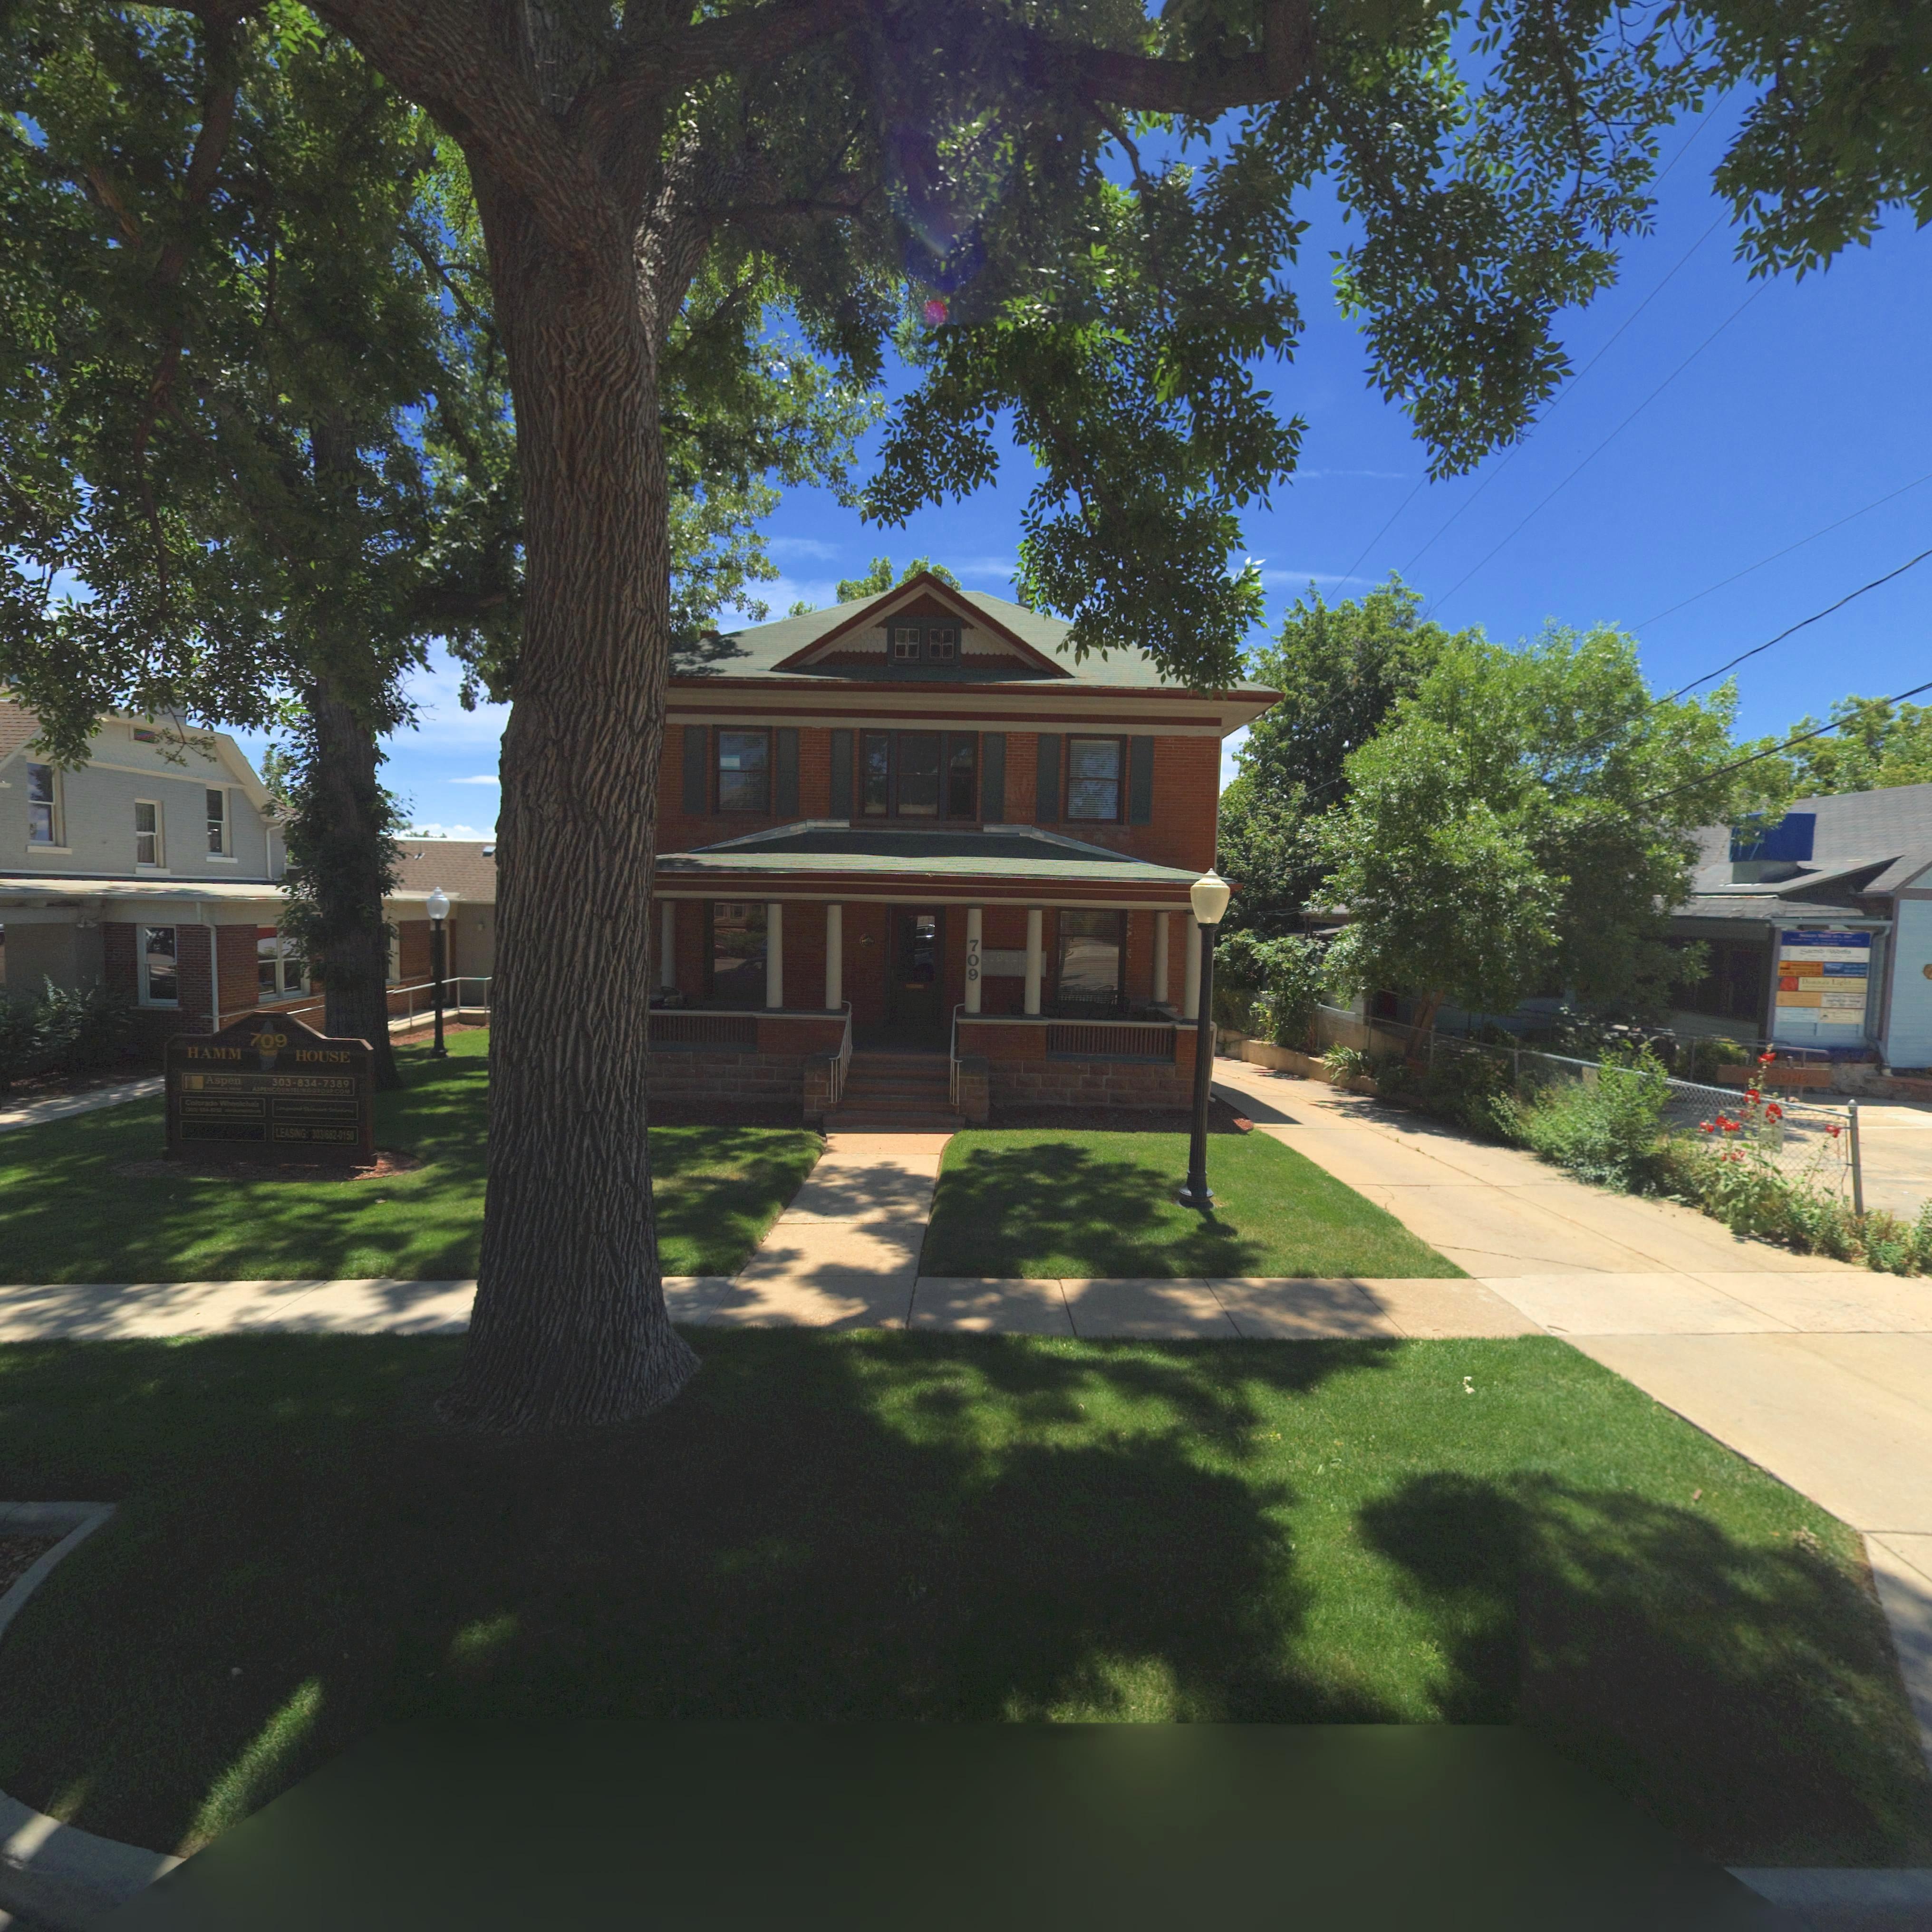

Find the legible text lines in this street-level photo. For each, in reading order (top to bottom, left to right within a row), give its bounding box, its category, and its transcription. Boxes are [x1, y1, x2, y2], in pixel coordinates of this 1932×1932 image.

[1799, 948, 1852, 954] BusinessName: Sacred Works
[968, 939, 979, 981] StreetNumber: 709
[1801, 978, 1852, 985] BusinessName: Donna's Light
[249, 1032, 286, 1047] StreetNumber: 709
[186, 1046, 241, 1059] BusinessName: HAMM
[295, 1049, 350, 1063] BusinessName: HOUSE
[205, 1075, 241, 1086] BusinessName: Aspen
[185, 1099, 260, 1108] BusinessName: Colorado Wheelchair
[276, 1105, 355, 1113] BusinessName: Longmont ******** Solutions